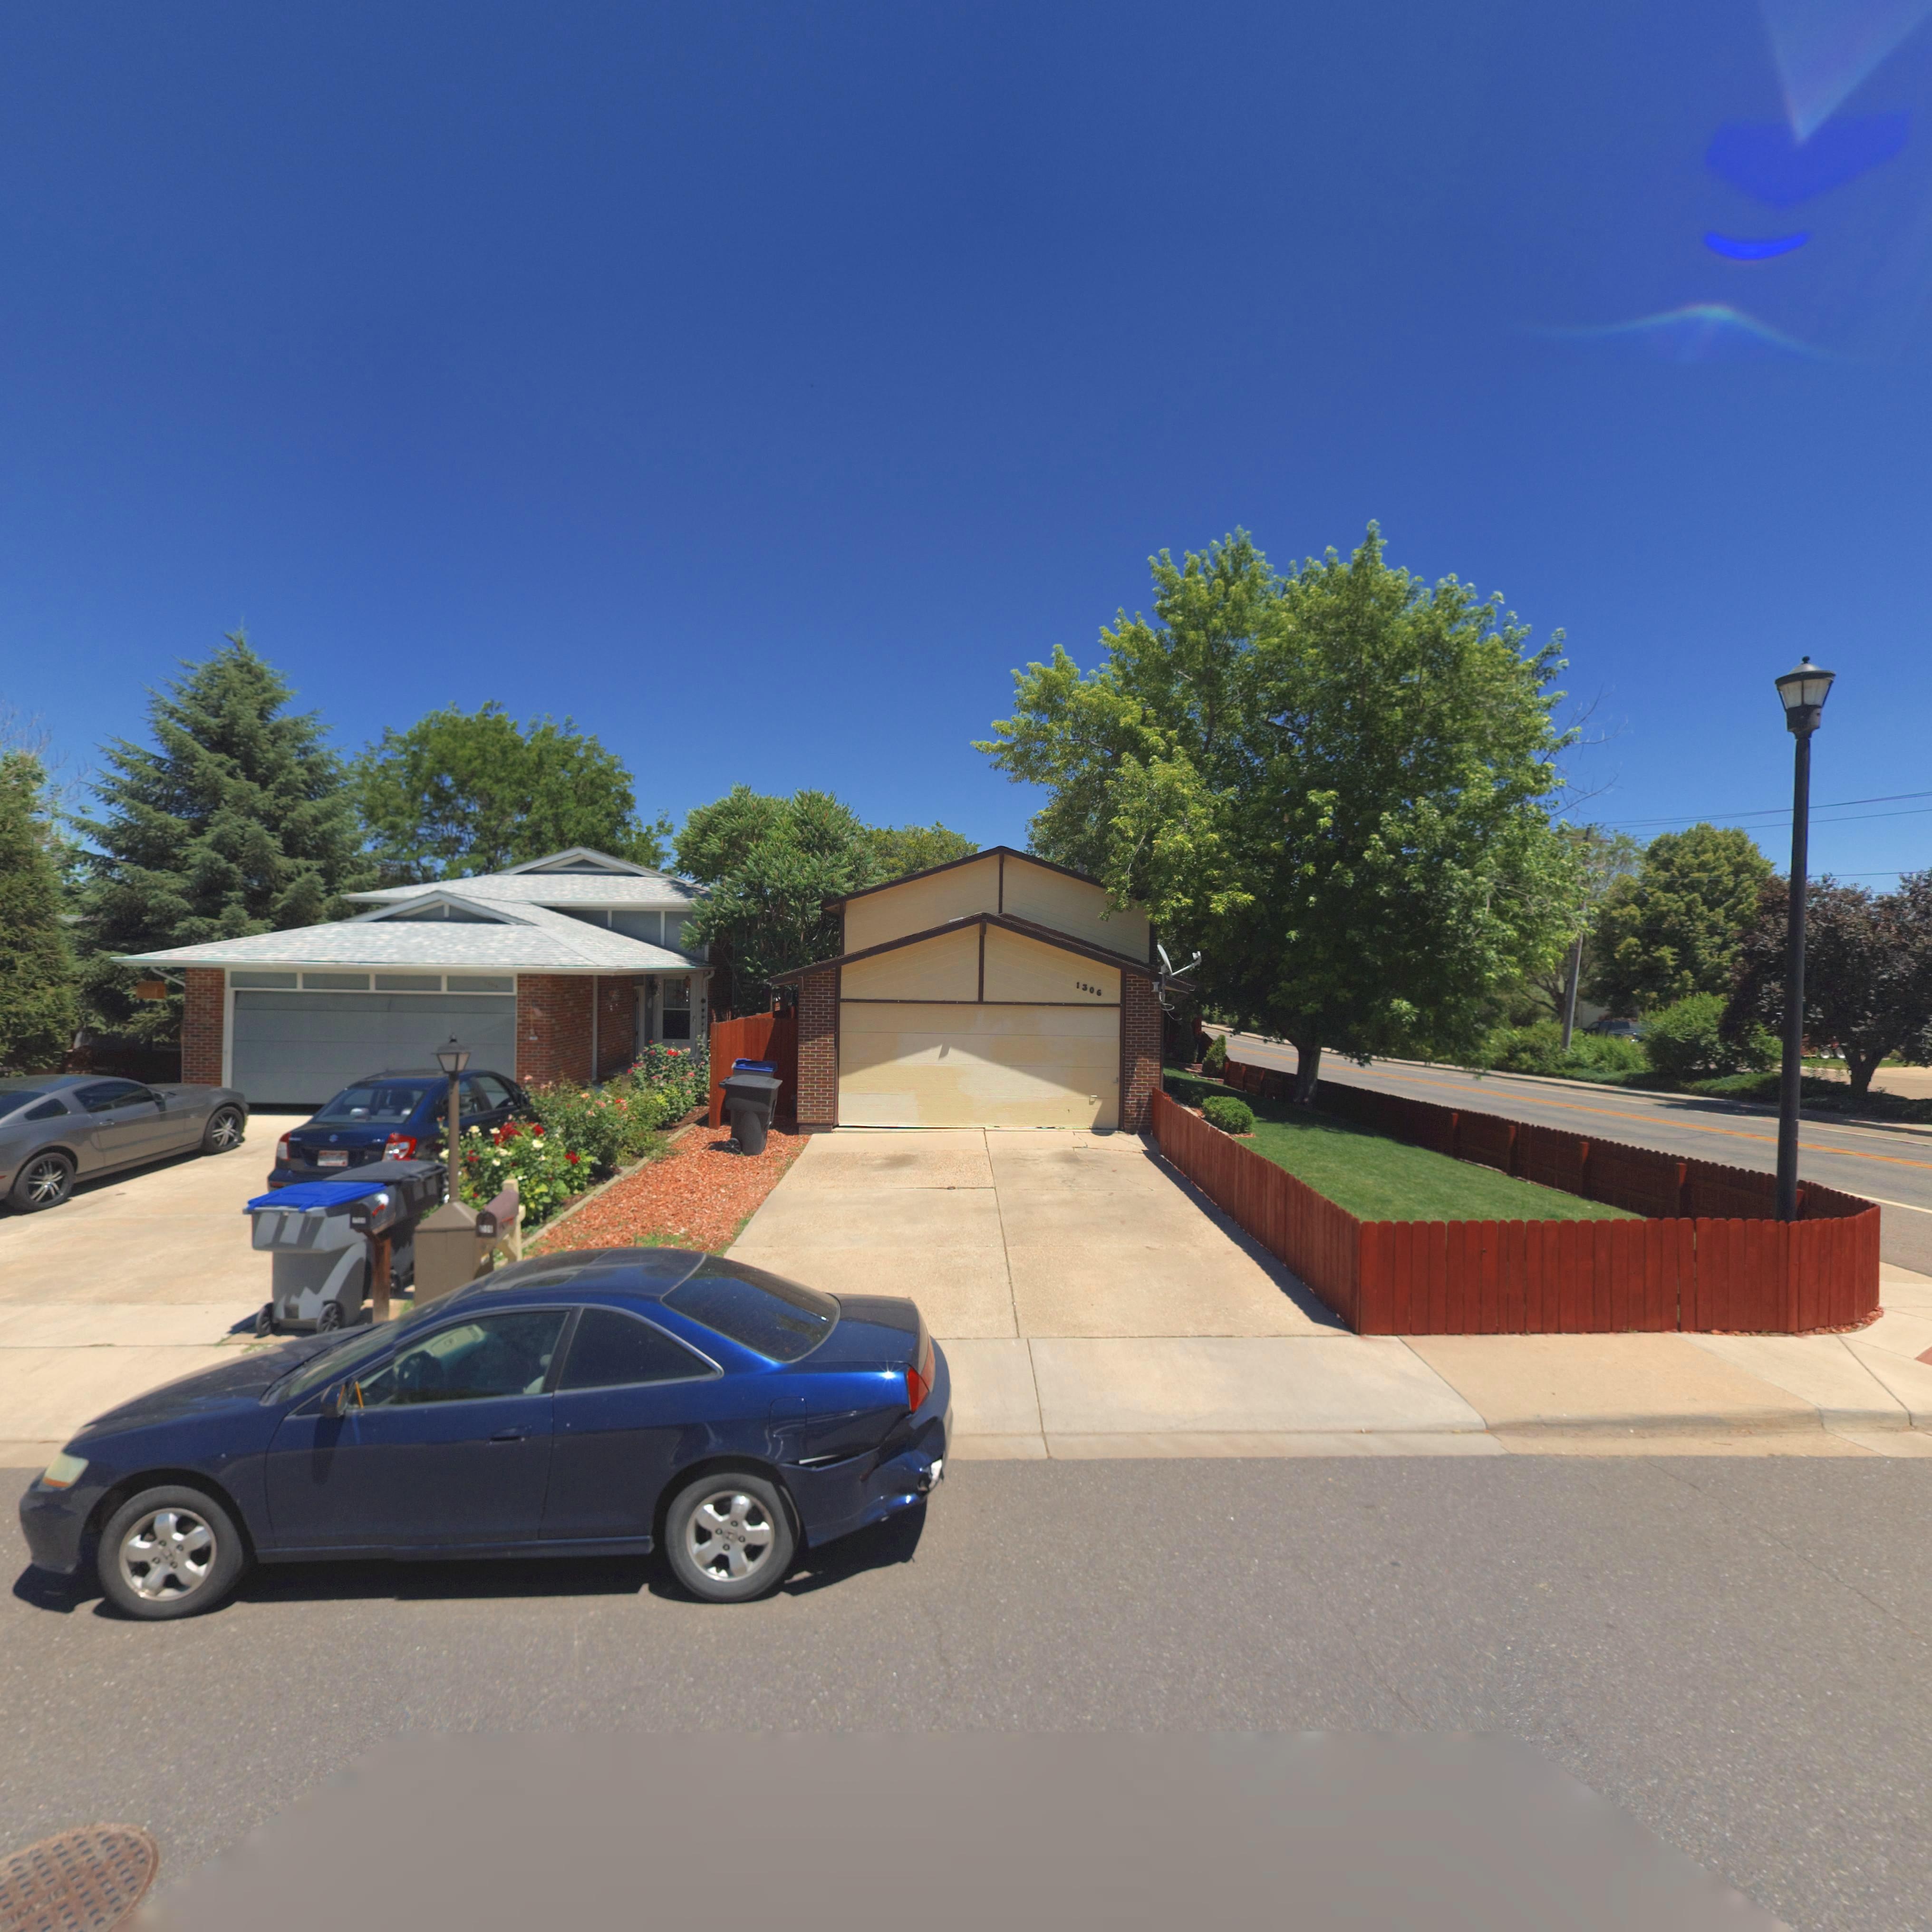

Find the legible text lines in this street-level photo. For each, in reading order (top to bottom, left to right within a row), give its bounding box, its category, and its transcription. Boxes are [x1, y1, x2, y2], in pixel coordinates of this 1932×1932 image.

[1076, 981, 1101, 997] StreetNumber: 1306